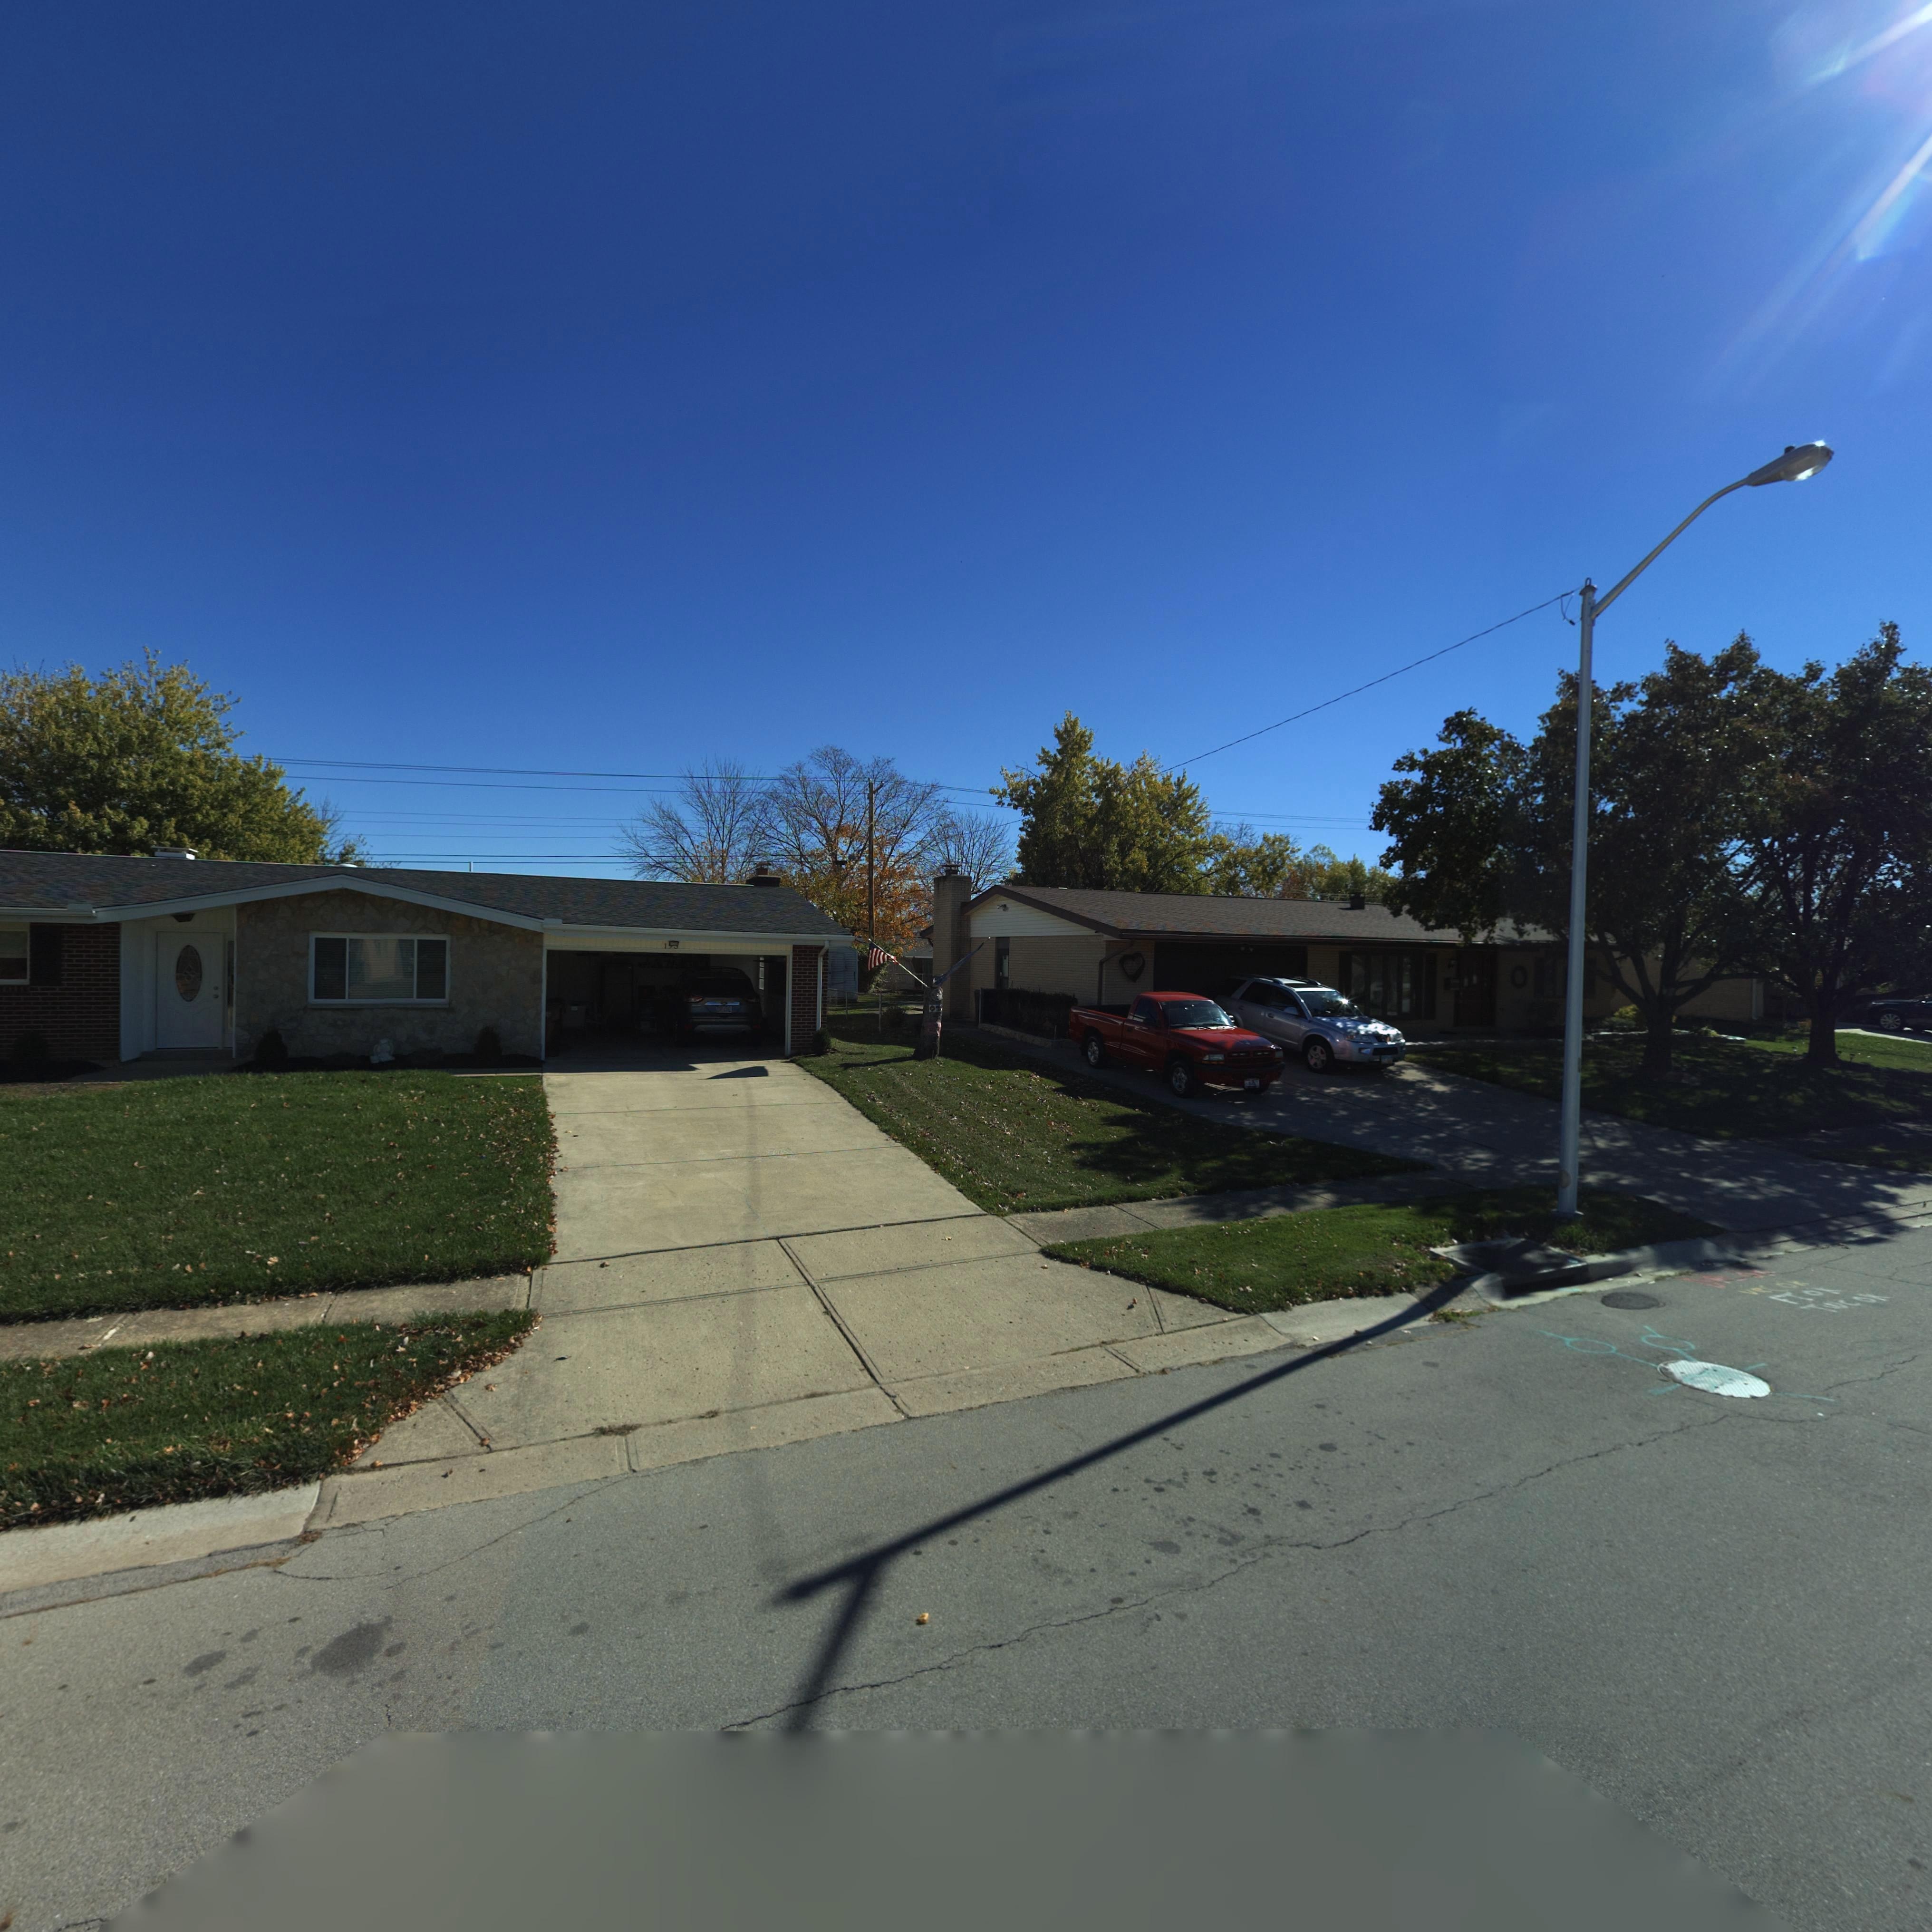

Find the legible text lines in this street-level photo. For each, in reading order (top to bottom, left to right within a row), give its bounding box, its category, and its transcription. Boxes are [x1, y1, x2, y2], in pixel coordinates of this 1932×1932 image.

[663, 942, 667, 949] StreetNumber: 1